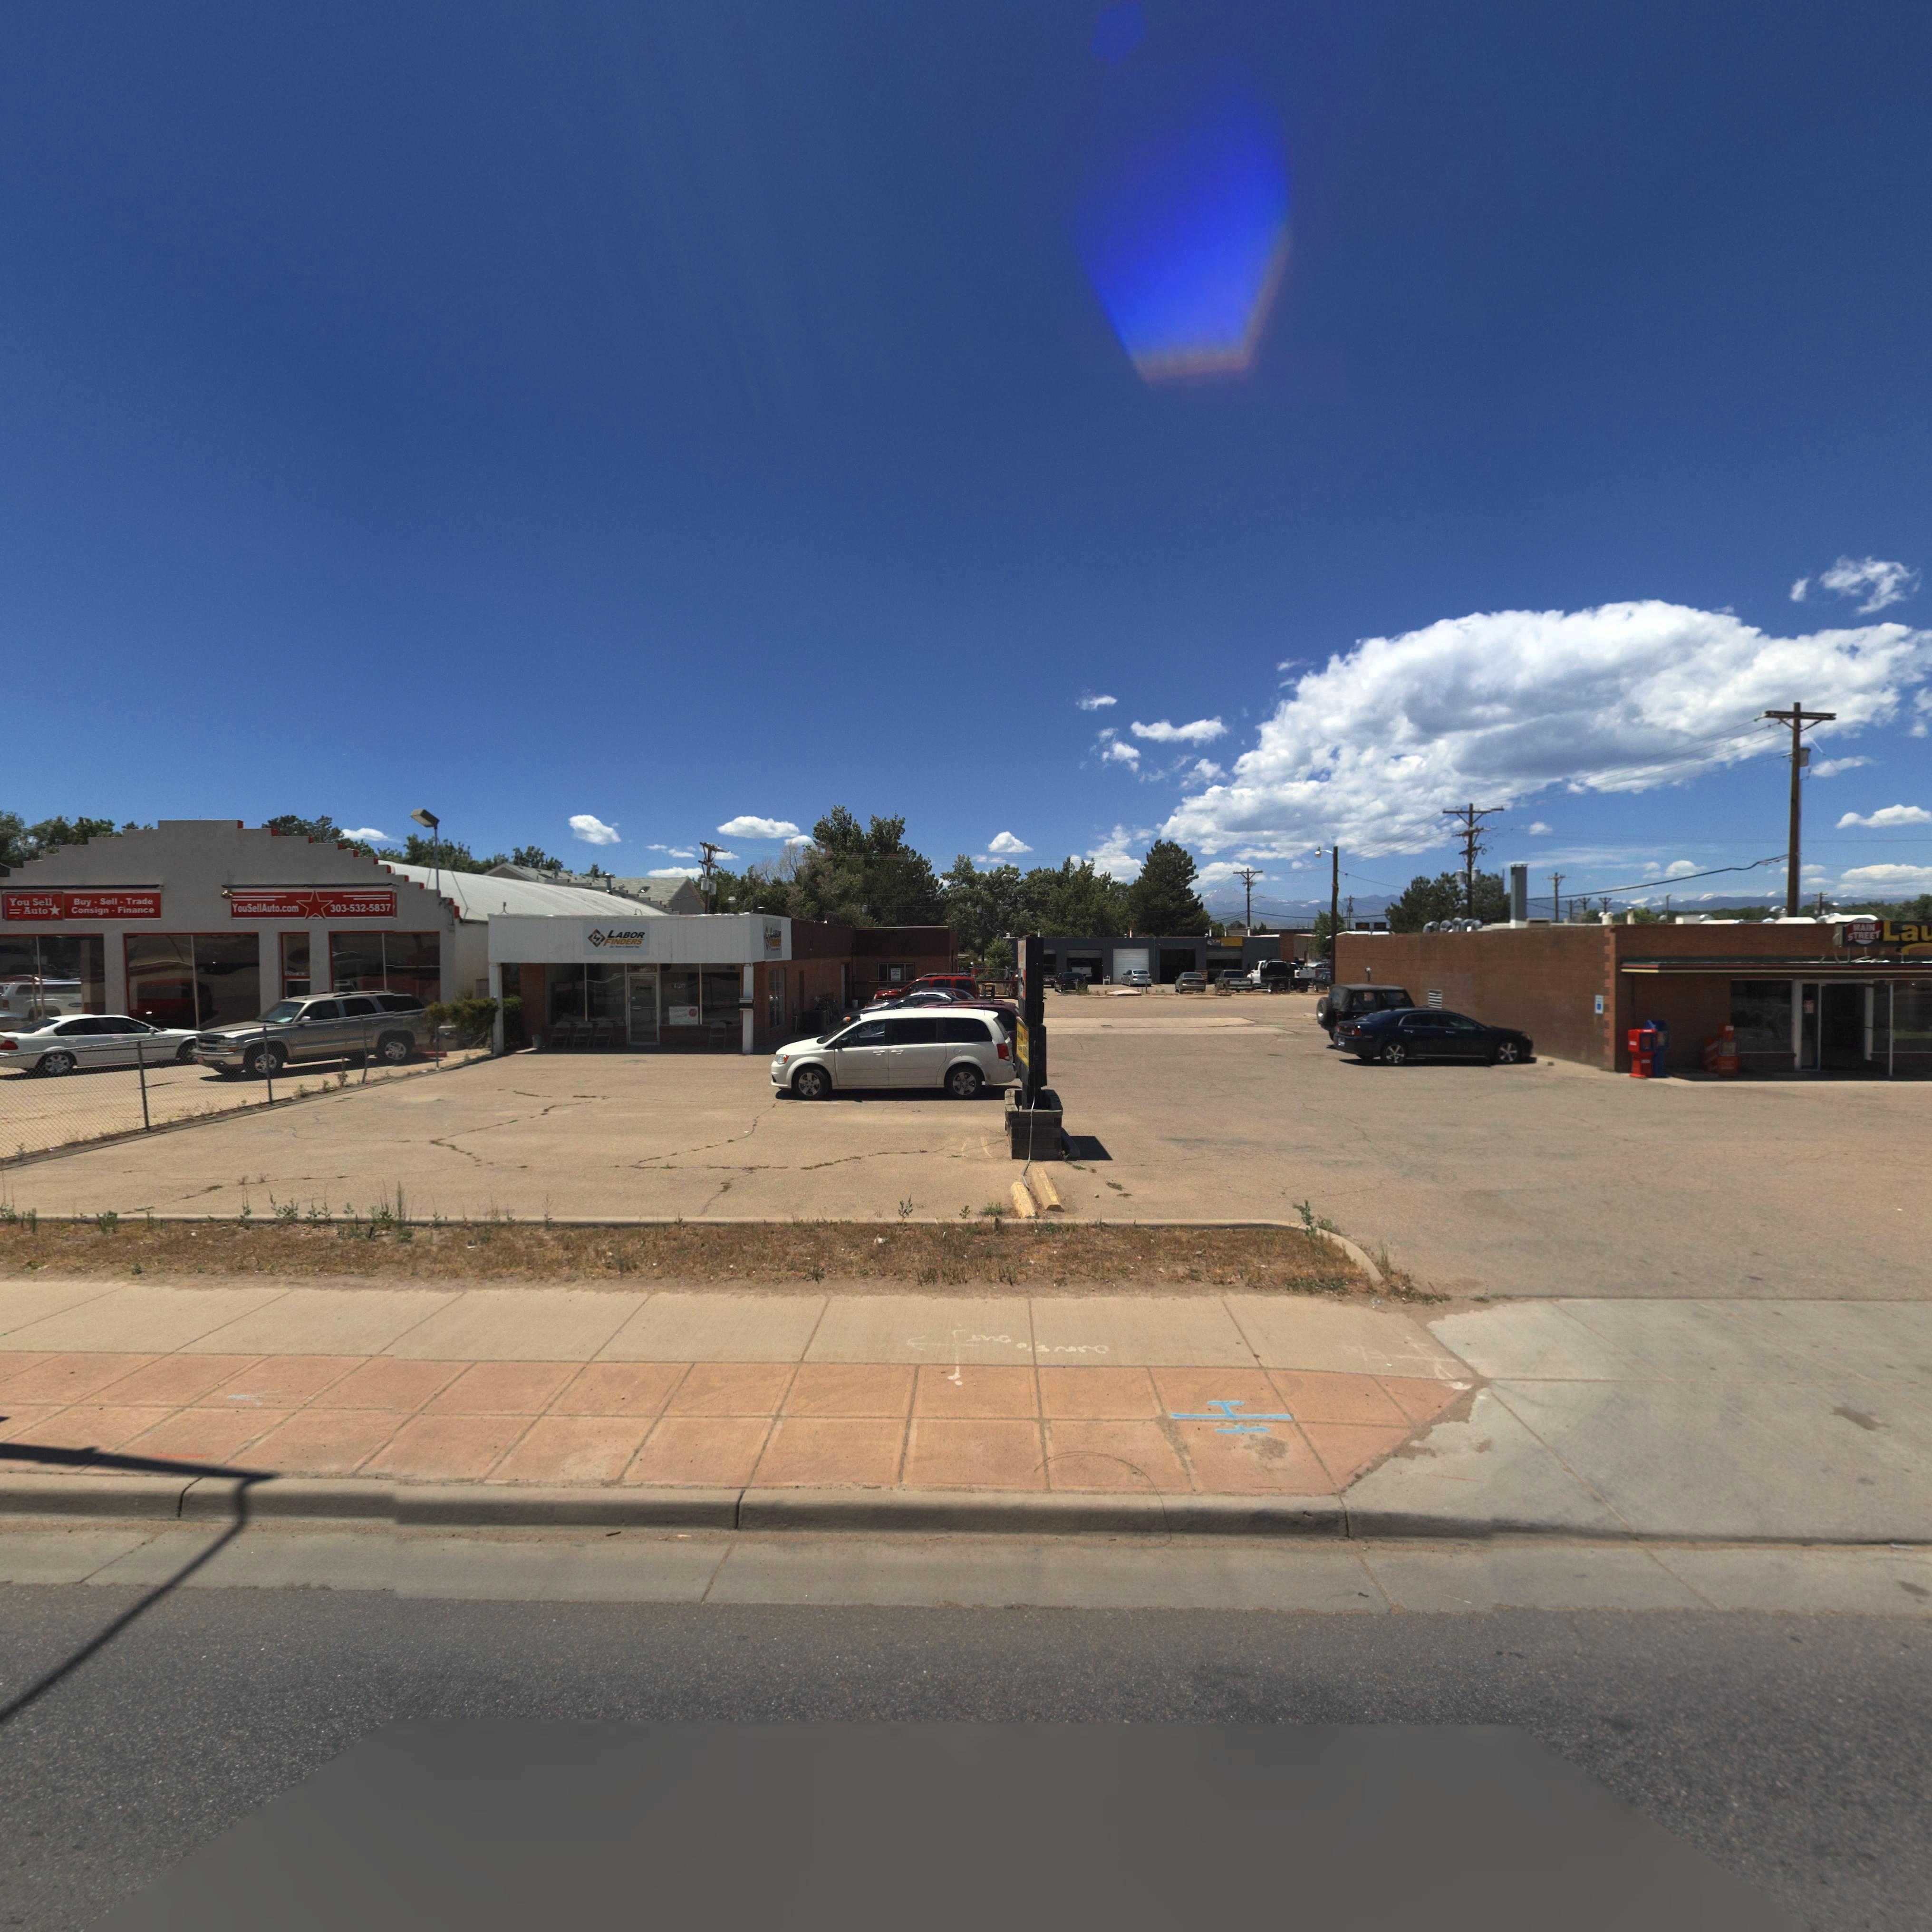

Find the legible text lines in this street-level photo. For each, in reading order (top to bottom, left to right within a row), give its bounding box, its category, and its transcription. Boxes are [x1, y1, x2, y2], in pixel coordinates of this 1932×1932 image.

[7, 897, 53, 906] BusinessName: You Sell
[21, 906, 48, 915] BusinessName: Auto
[606, 929, 645, 938] BusinessName: LABOR
[769, 926, 781, 938] BusinessName: LABOR
[1852, 923, 1875, 931] BusinessName: MAIN
[1847, 929, 1882, 942] BusinessName: STREET
[1882, 919, 1919, 941] BusinessName: La
[602, 937, 643, 947] BusinessName: FINDERS
[768, 937, 782, 950] BusinessName: F***RS
[634, 985, 653, 991] BusinessName: LA**